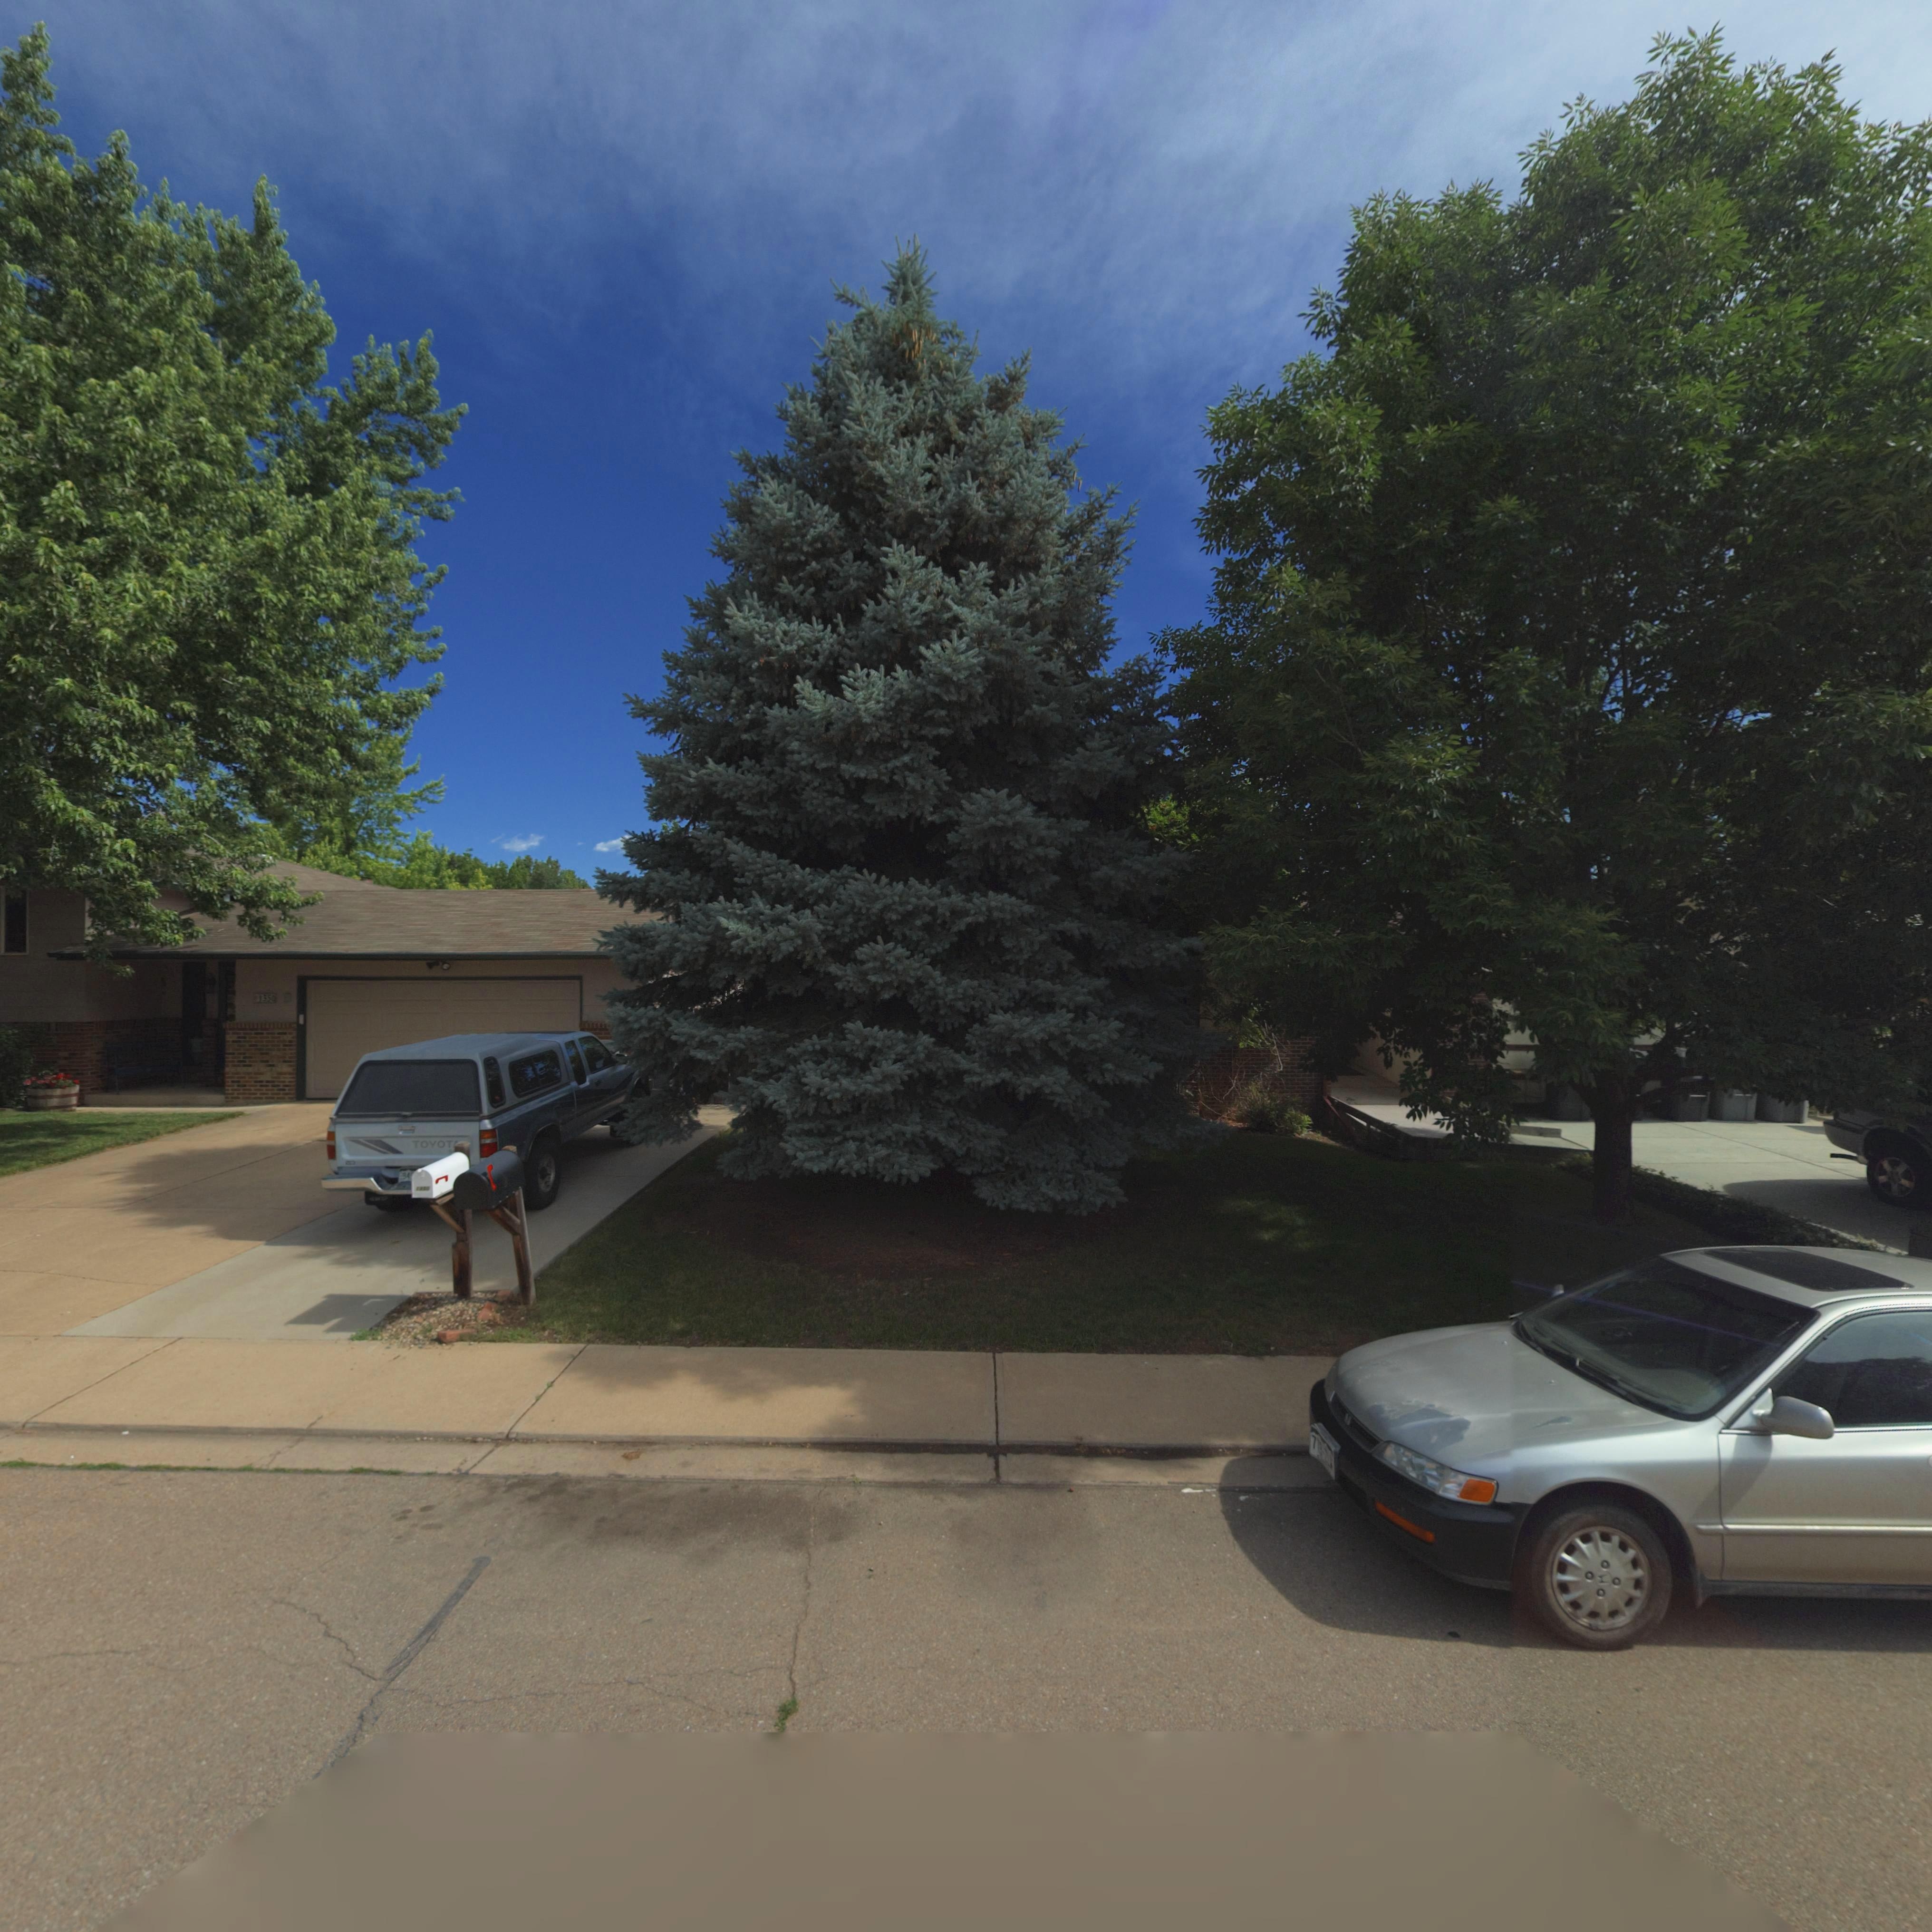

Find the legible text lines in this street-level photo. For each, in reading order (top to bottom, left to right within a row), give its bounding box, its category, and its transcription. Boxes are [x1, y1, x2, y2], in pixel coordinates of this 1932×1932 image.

[259, 994, 276, 1002] StreetNumber: 1350
[415, 1186, 430, 1190] StreetNumber: 1**0